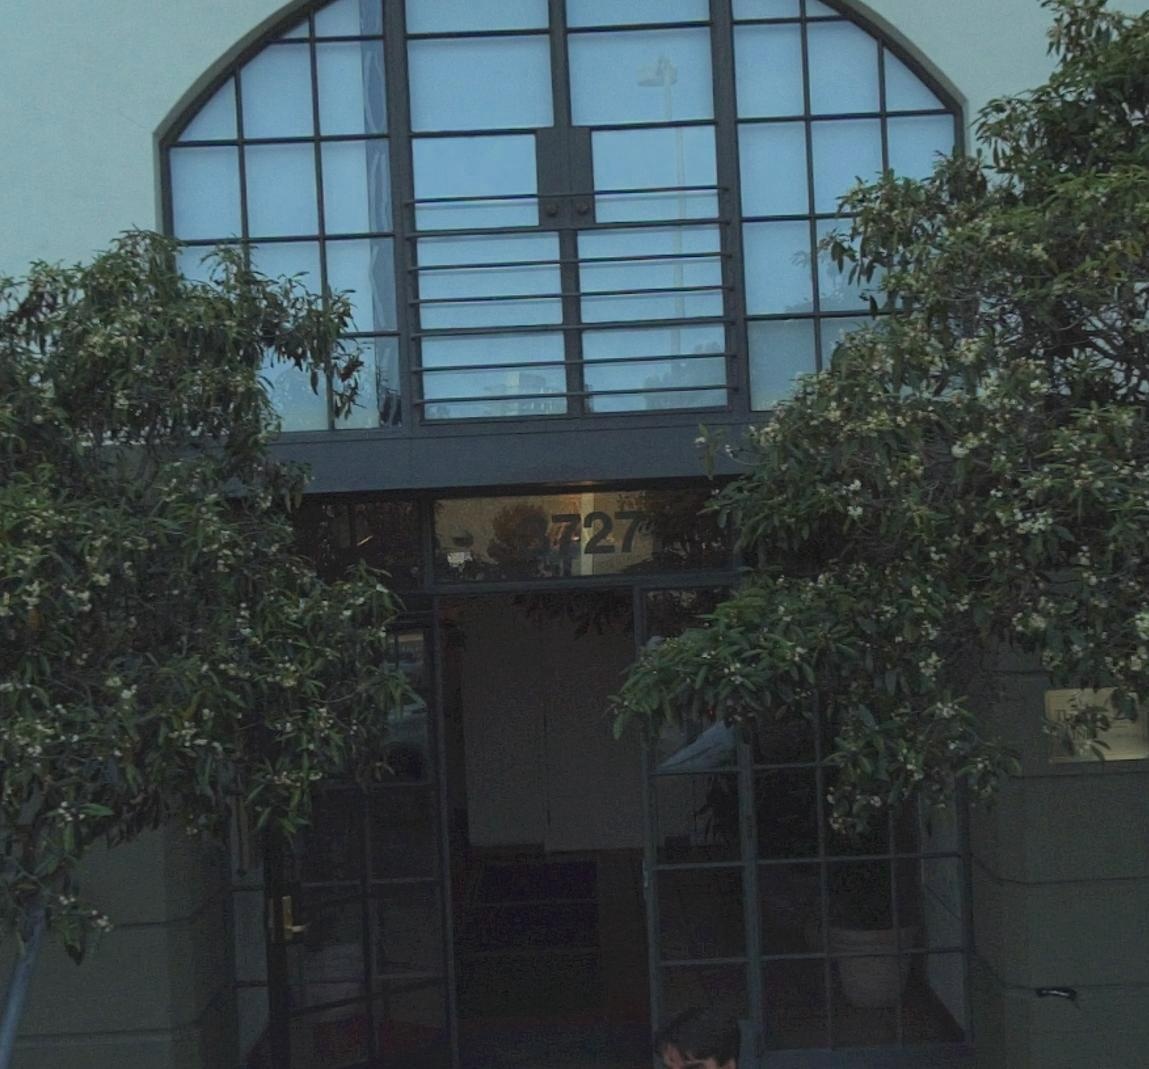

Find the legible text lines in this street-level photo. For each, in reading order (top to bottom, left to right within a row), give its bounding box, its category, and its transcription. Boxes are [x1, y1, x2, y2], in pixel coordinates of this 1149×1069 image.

[513, 508, 647, 561] StreetNumber: 3727